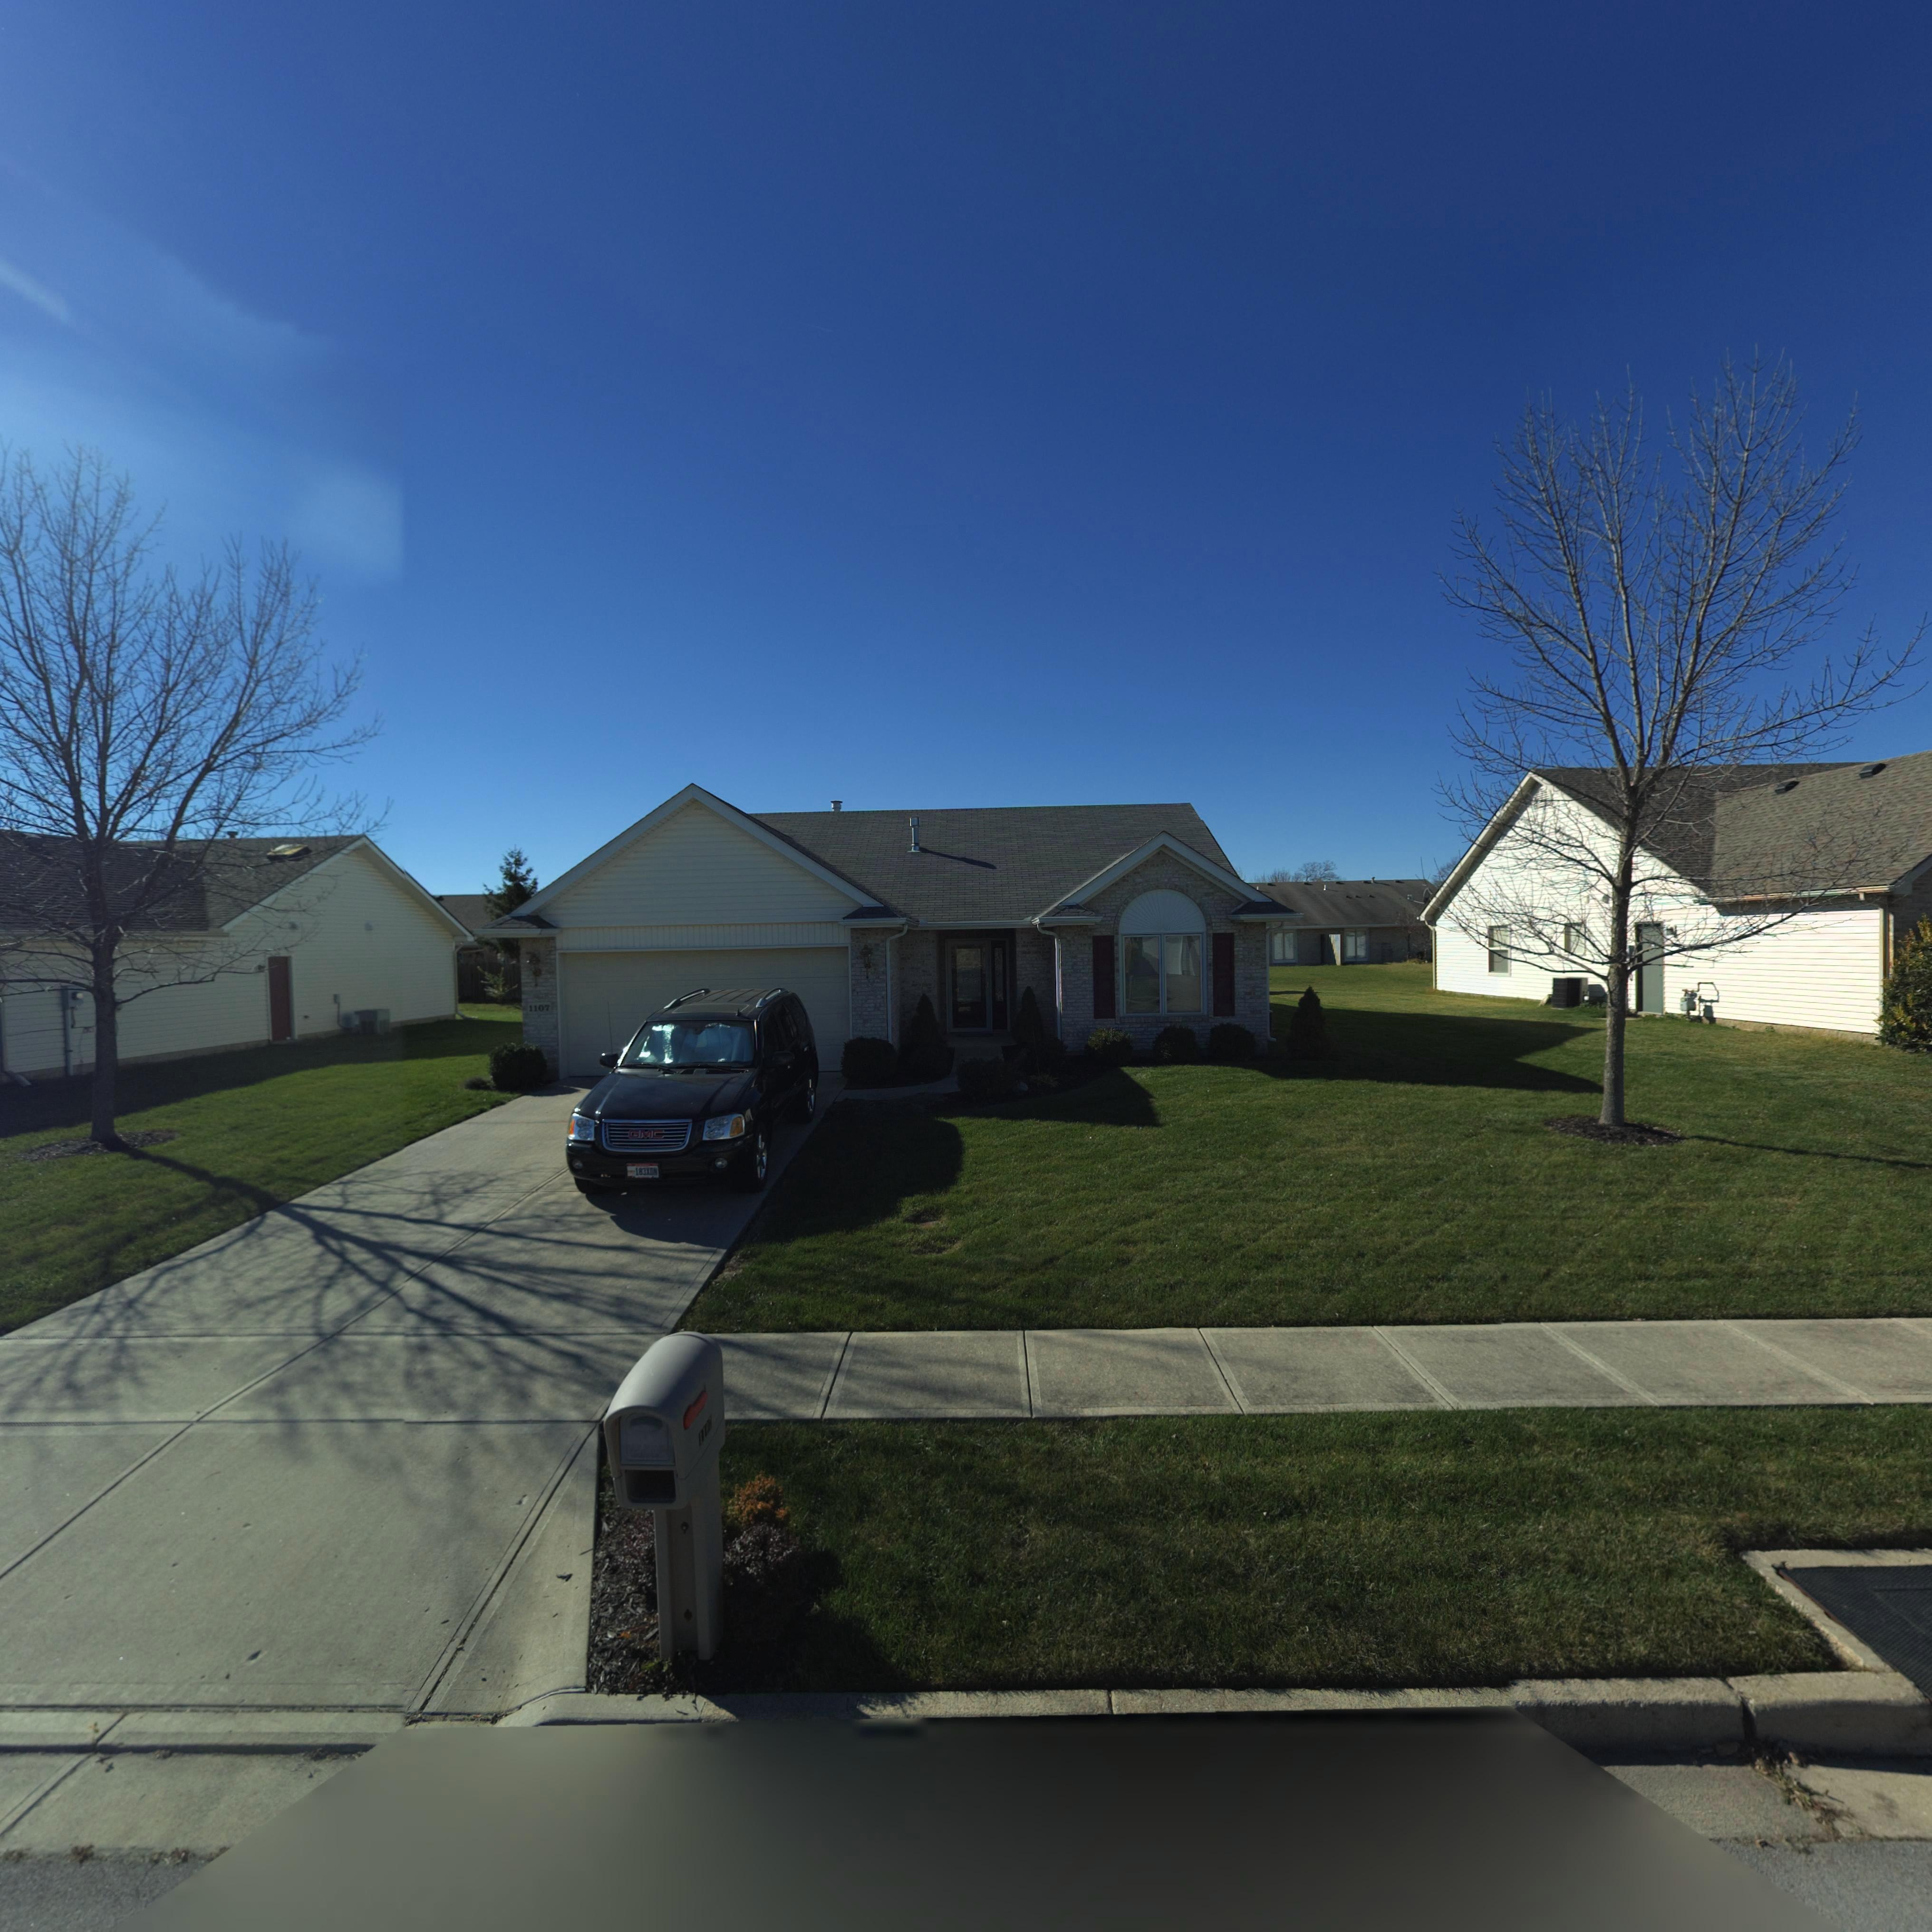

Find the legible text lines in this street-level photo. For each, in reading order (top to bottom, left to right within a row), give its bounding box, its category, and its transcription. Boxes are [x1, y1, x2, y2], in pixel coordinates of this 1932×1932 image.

[528, 1004, 551, 1013] StreetNumber: 1107
[698, 1413, 712, 1448] StreetNumber: 11**